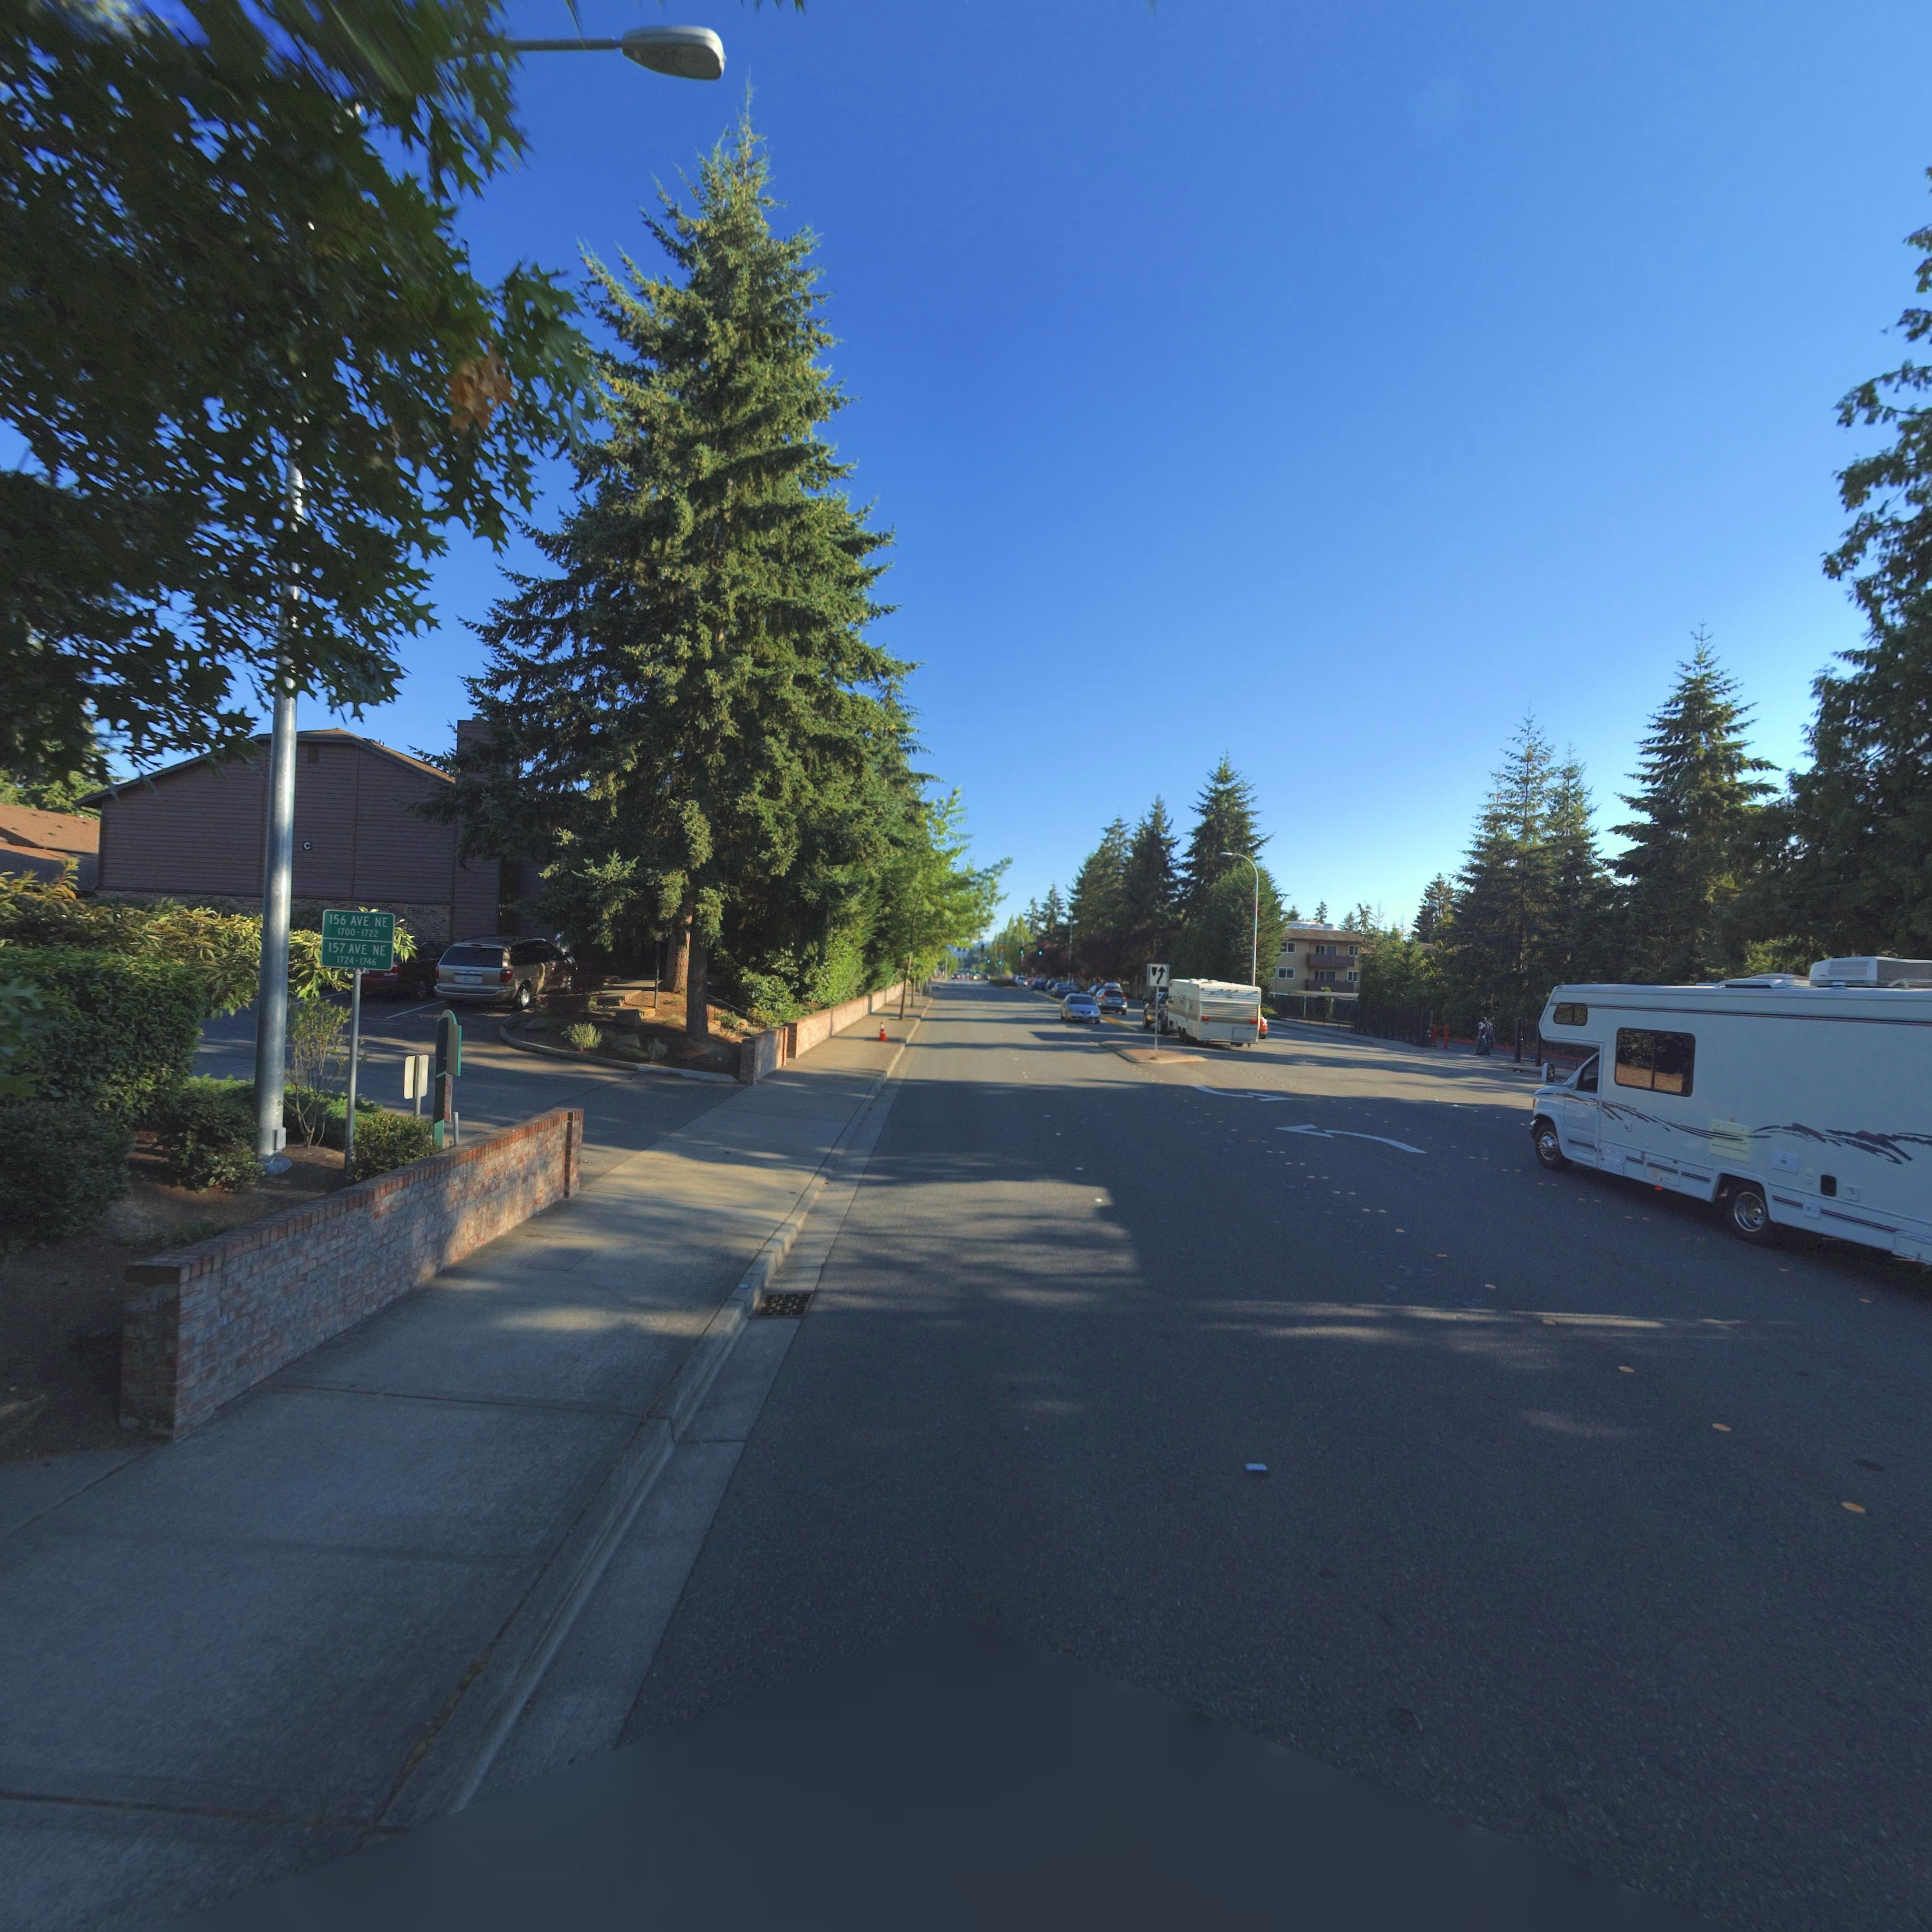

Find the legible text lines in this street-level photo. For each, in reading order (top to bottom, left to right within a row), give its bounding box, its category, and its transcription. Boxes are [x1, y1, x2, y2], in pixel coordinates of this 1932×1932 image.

[328, 913, 390, 928] StreetName: 156 AVE NE
[328, 942, 386, 956] StreetName: 157 AVE NE